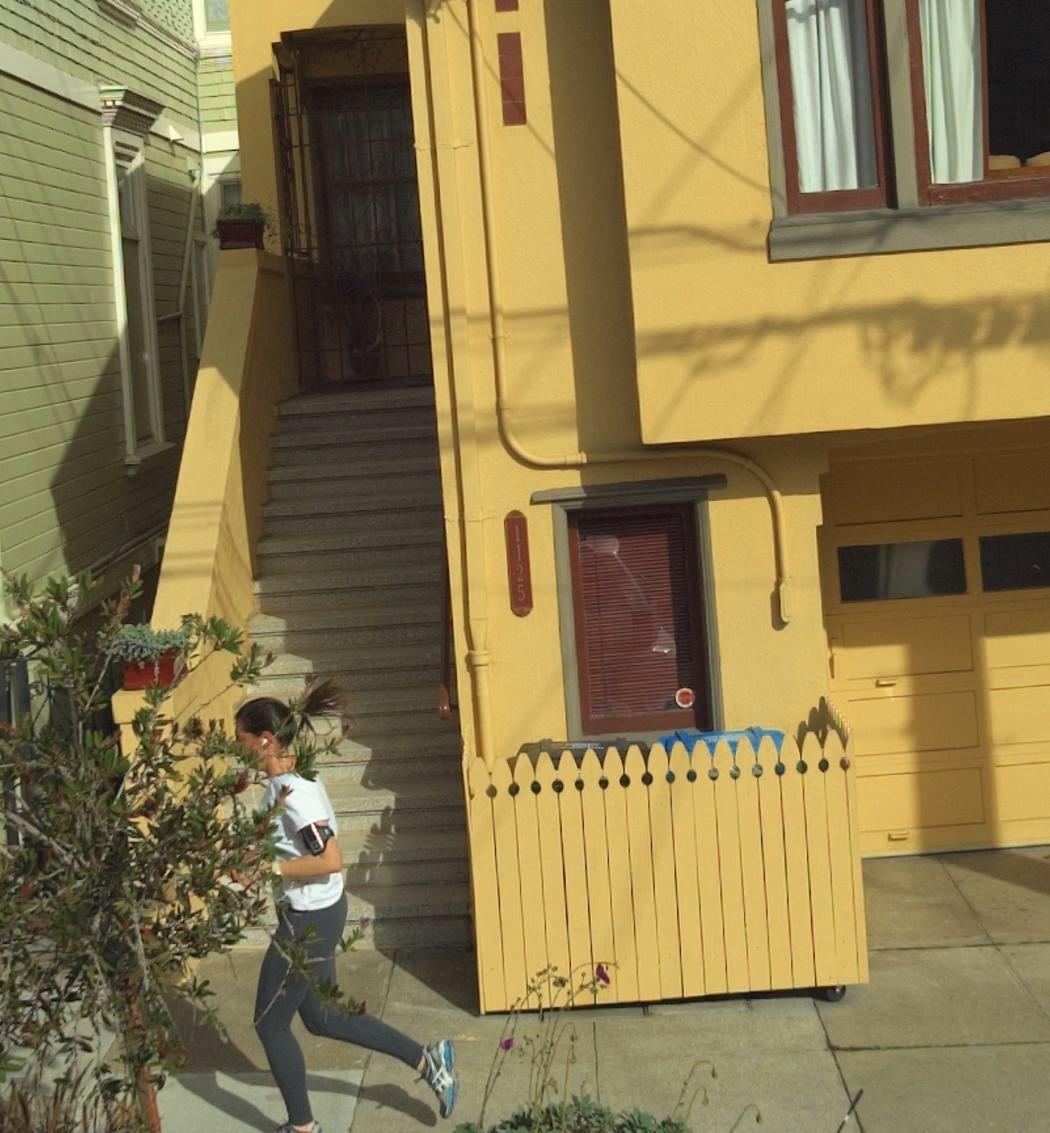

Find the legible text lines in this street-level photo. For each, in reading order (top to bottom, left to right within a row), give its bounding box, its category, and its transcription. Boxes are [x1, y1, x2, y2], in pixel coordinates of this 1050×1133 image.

[512, 524, 528, 603] StreetNumber: 1125